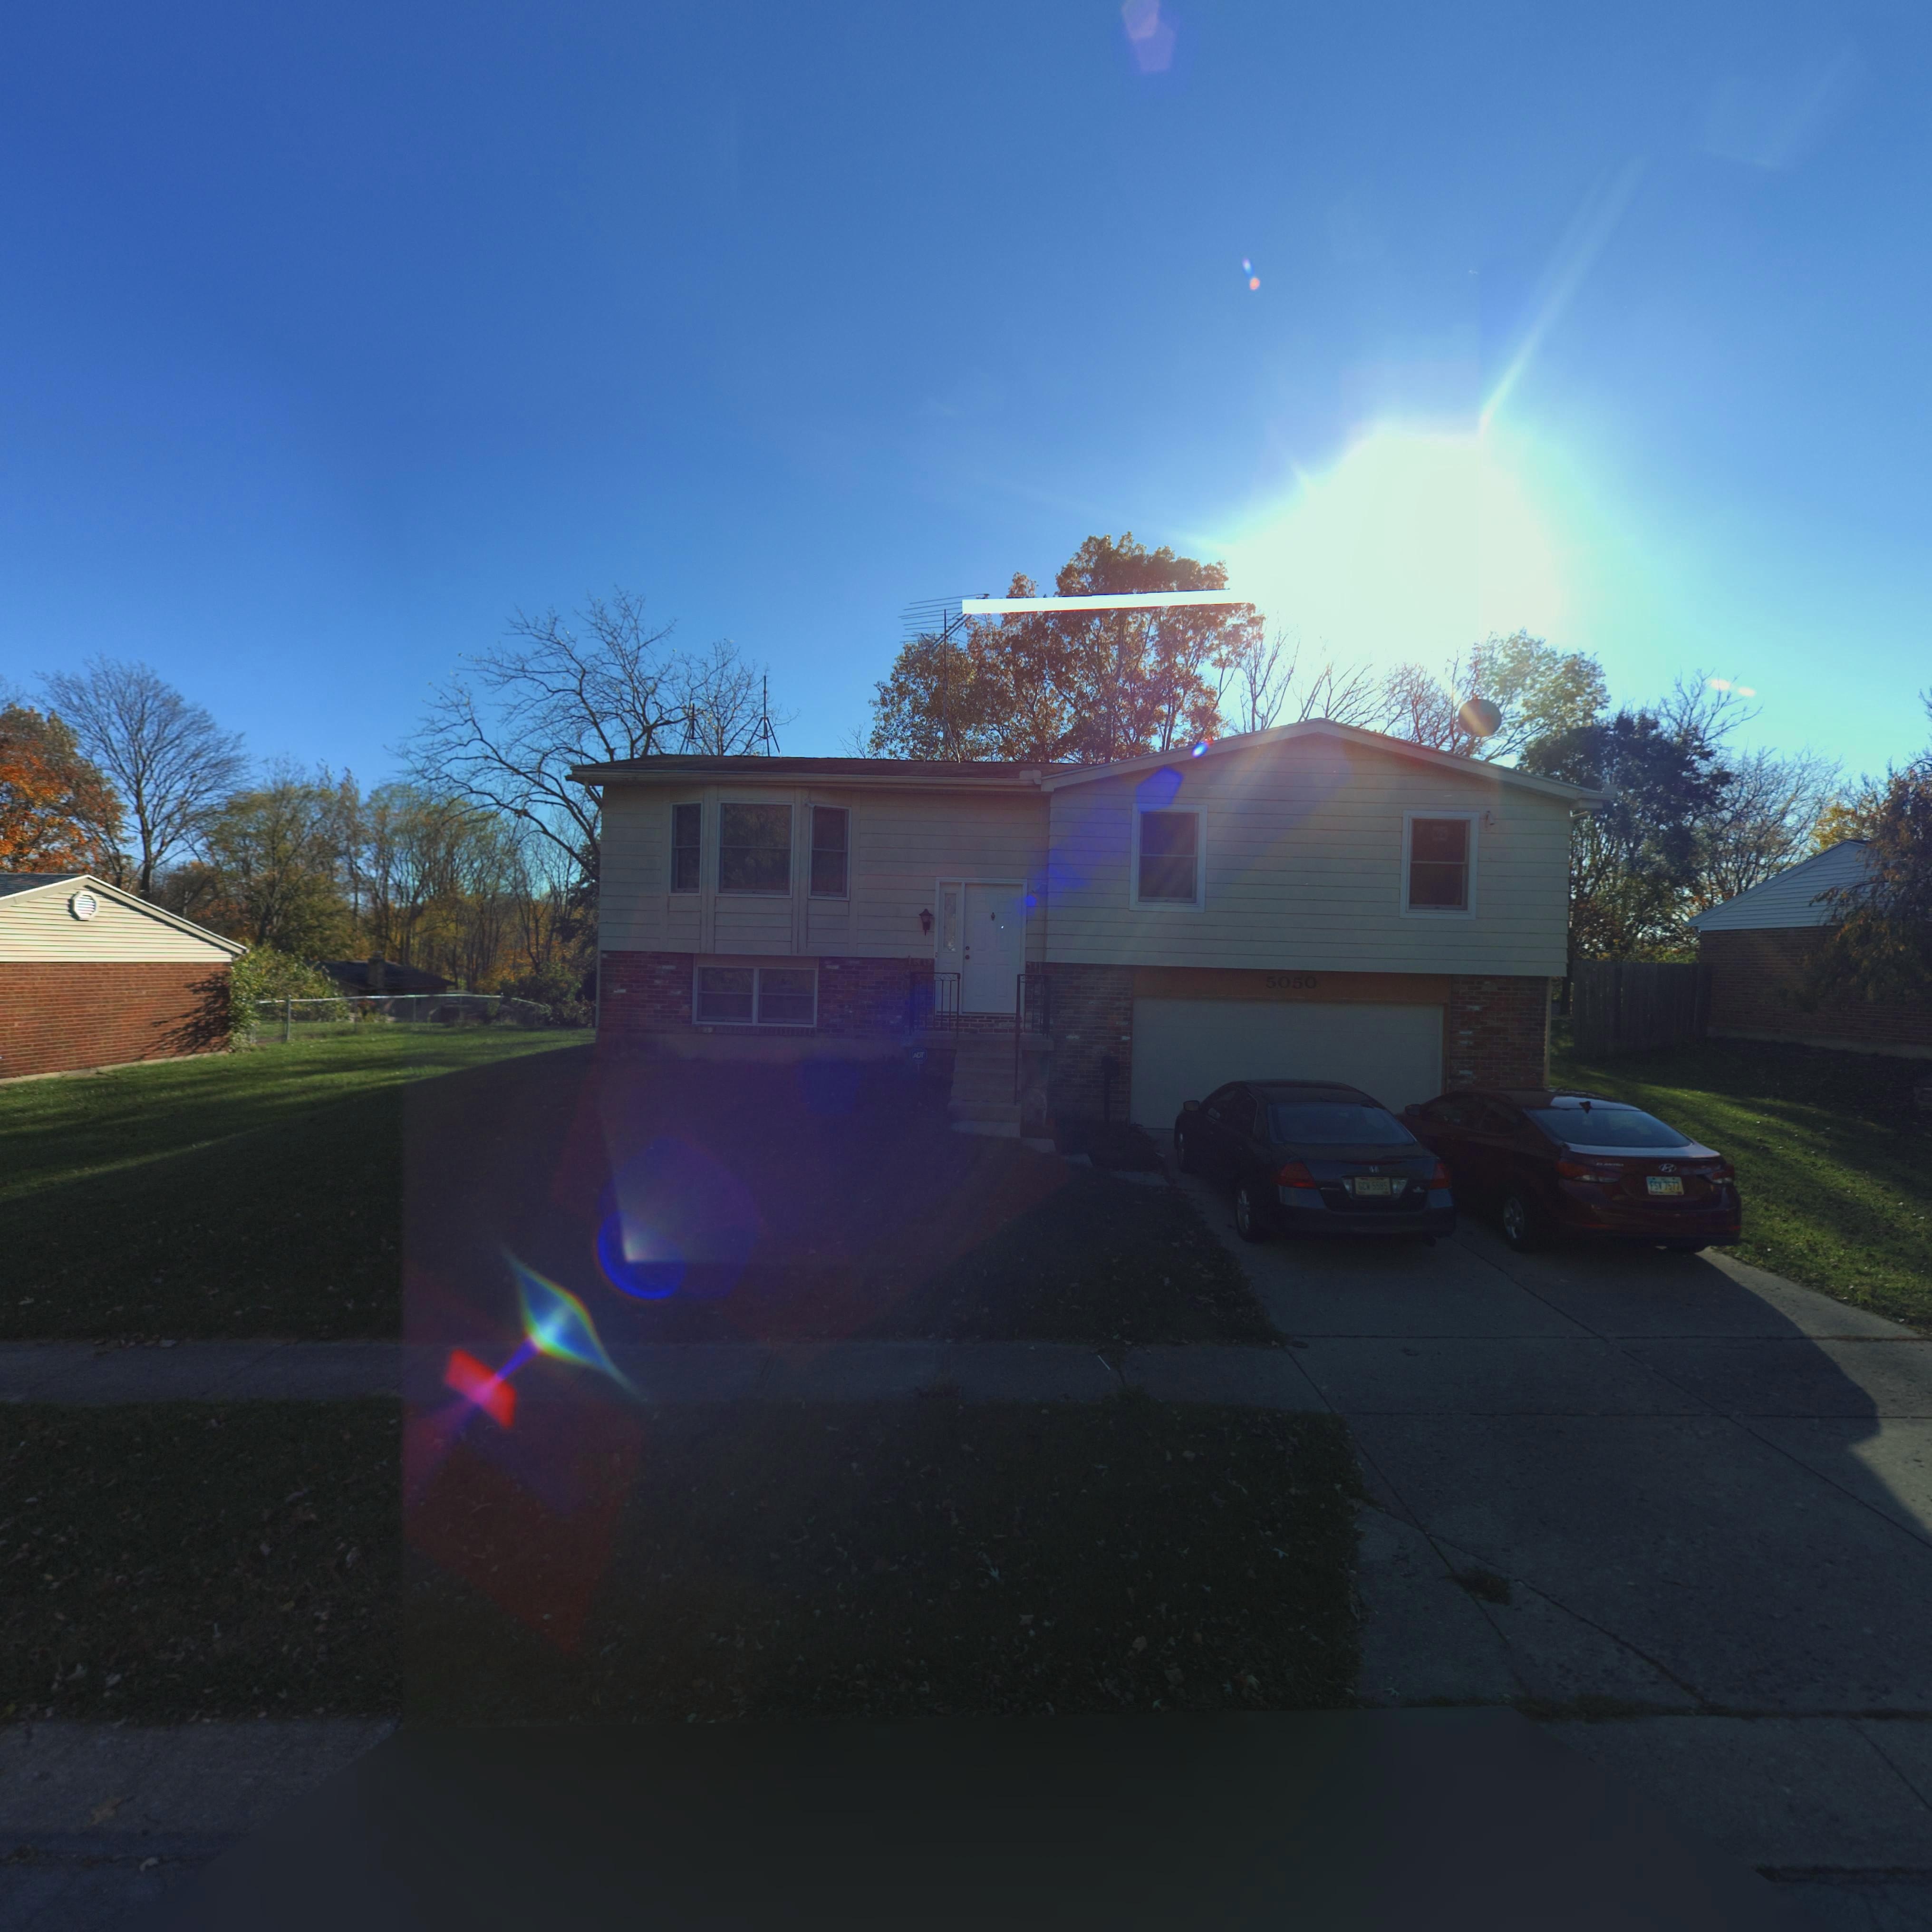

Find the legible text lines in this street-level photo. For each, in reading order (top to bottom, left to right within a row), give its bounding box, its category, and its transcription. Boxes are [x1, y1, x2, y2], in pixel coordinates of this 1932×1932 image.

[1265, 975, 1317, 990] StreetNumber: 5050